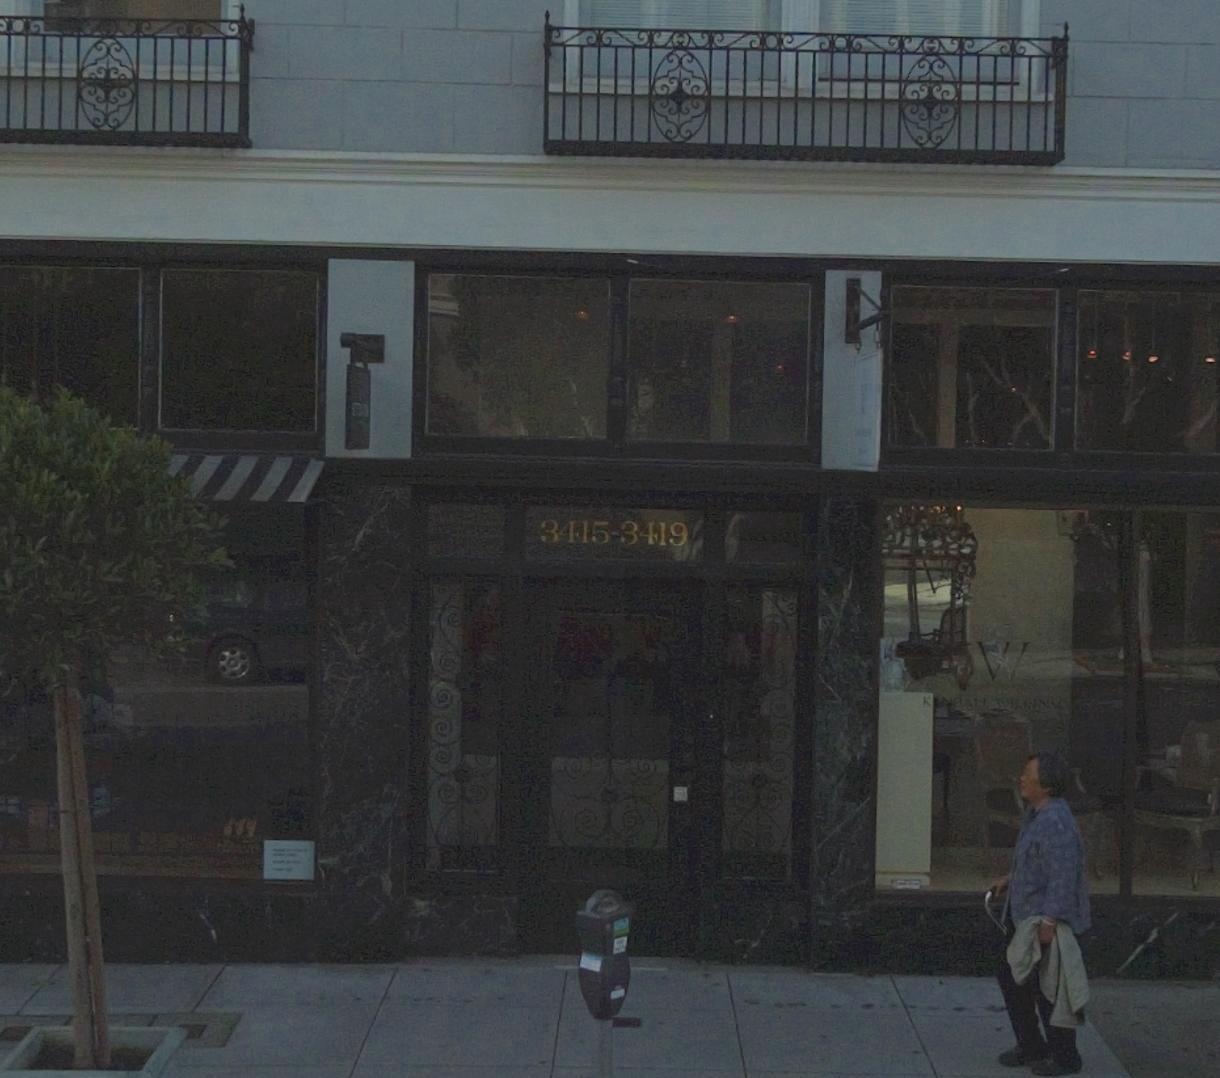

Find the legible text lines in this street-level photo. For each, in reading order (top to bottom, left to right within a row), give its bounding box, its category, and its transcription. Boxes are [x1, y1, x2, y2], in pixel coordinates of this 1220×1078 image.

[536, 516, 613, 548] StreetNumber: 3415
[617, 517, 690, 550] StreetNumber: 3419
[971, 637, 1038, 685] None: W